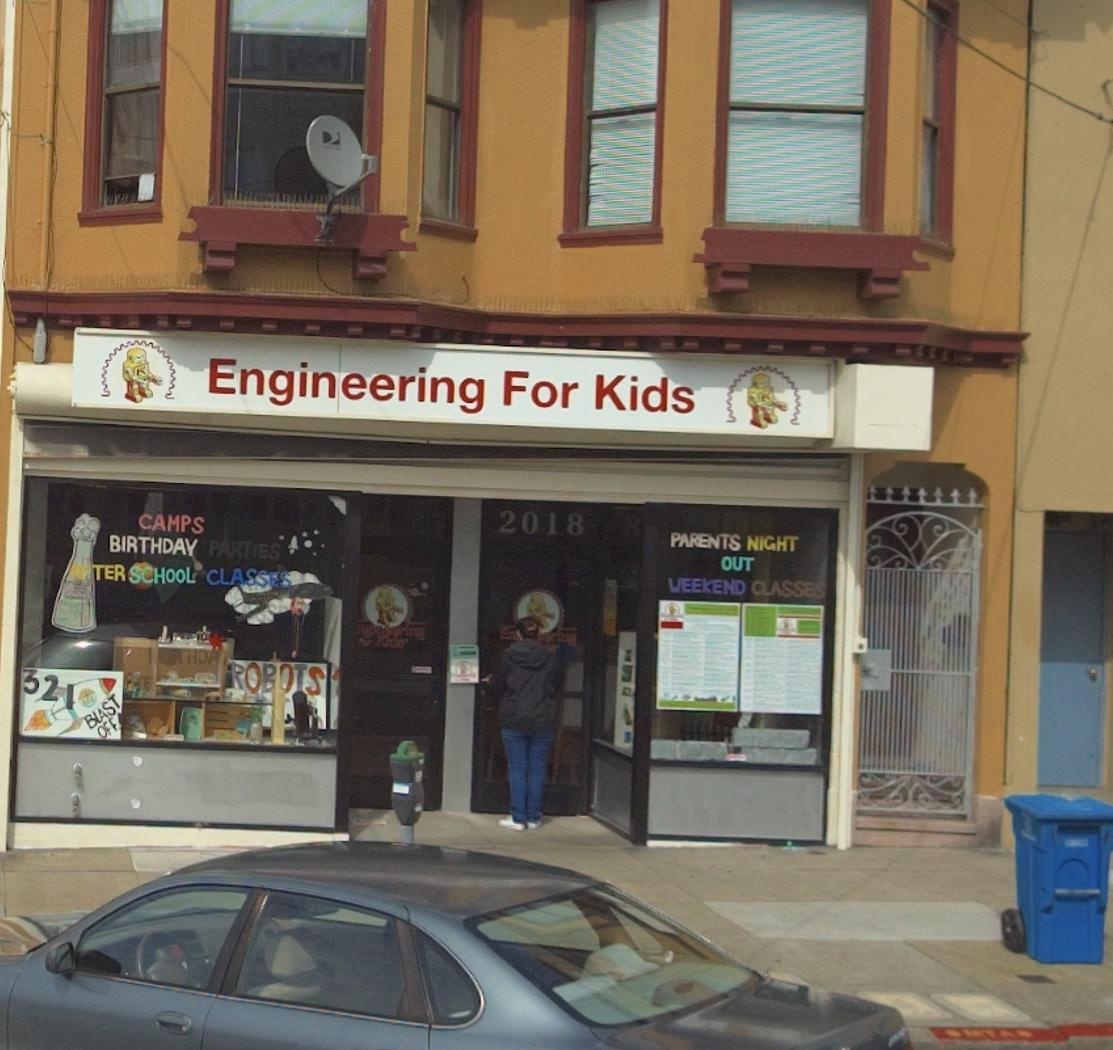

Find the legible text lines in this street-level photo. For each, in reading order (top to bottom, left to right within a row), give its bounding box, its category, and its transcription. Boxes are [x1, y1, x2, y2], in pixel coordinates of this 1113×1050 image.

[207, 355, 697, 416] BusinessName: Engineering For Kids
[137, 509, 208, 537] None: CAMPS
[496, 509, 586, 538] StreetNumber: 2018
[106, 531, 284, 563] None: BIRTHDAY PARTIES
[669, 530, 802, 553] None: PARENTS NIGHT
[90, 562, 294, 591] None: TER SCHOOL CLASSES
[718, 553, 758, 573] None: OUT
[664, 574, 828, 600] None: WEEKEND CLASSES
[21, 666, 76, 712] None: 321
[244, 660, 328, 698] None: O**TS
[80, 689, 124, 733] None: BLAST
[93, 714, 120, 742] None: OFF
[959, 1027, 1018, 1040] None: MTA